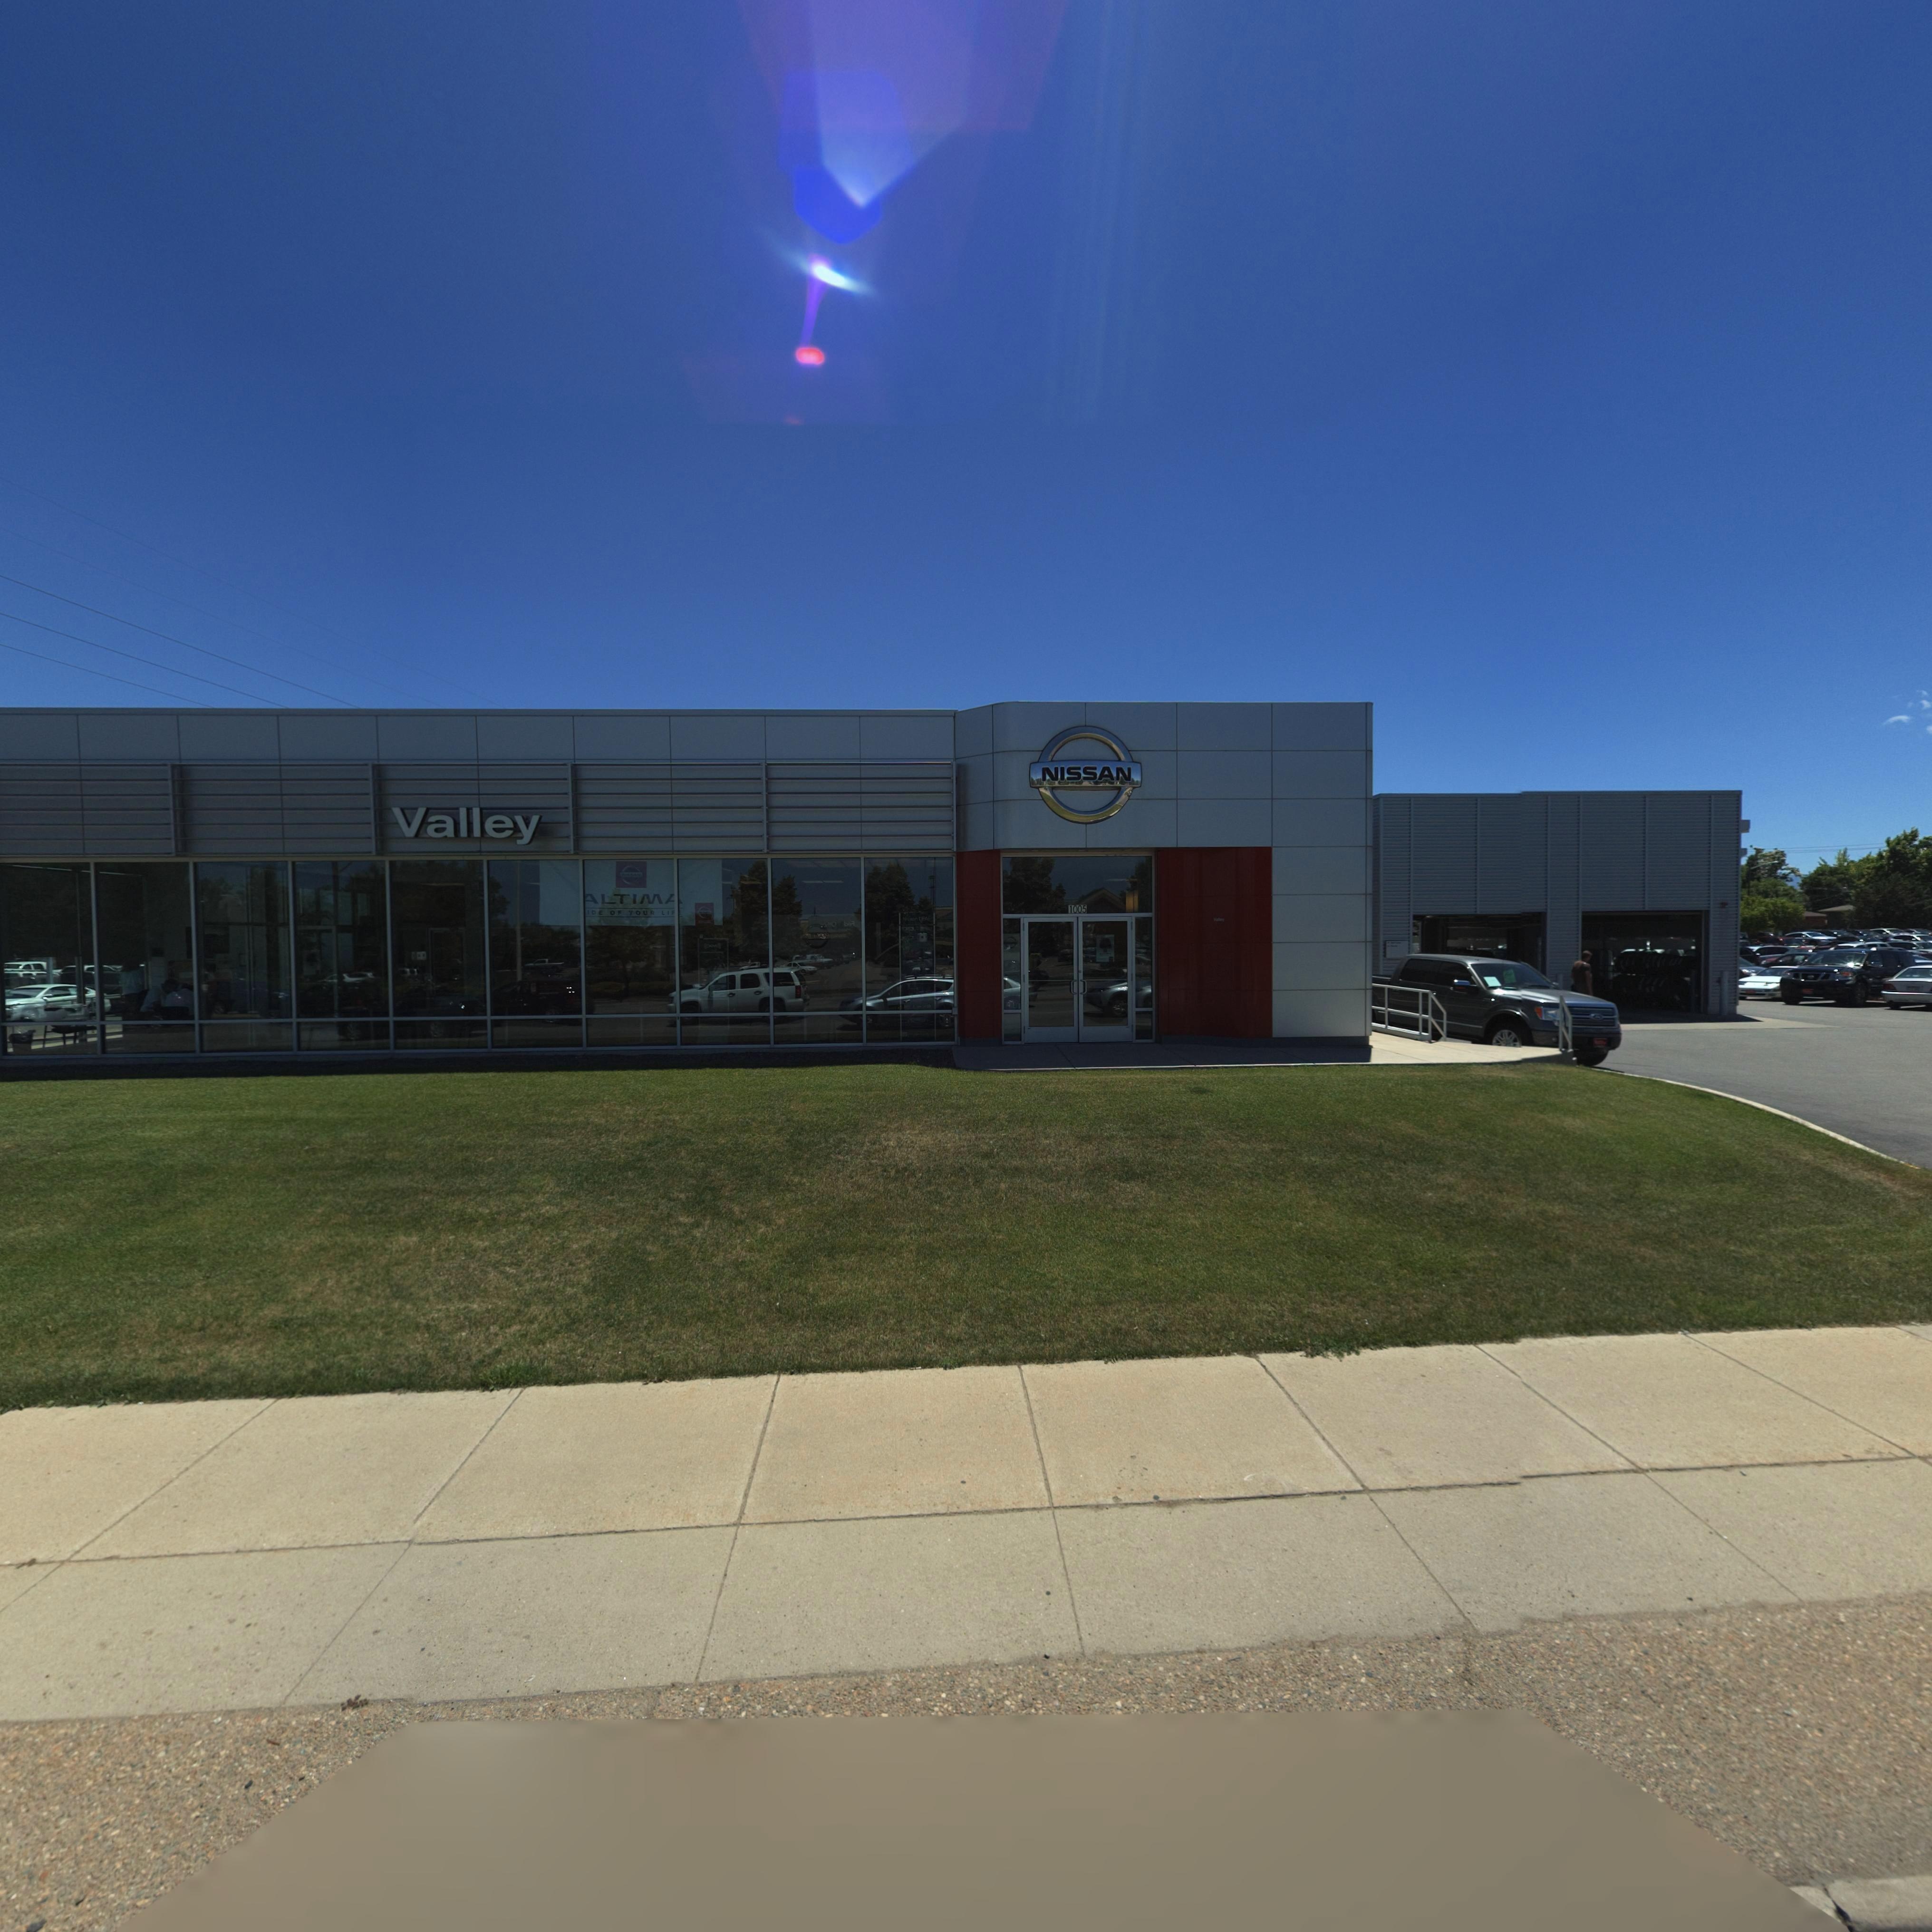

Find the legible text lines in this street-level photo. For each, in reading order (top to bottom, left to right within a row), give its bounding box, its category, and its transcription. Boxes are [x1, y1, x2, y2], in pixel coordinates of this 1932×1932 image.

[1041, 764, 1132, 782] BusinessName: NISSAN
[390, 806, 542, 847] BusinessName: Valley
[1069, 905, 1087, 913] StreetNumber: 1005